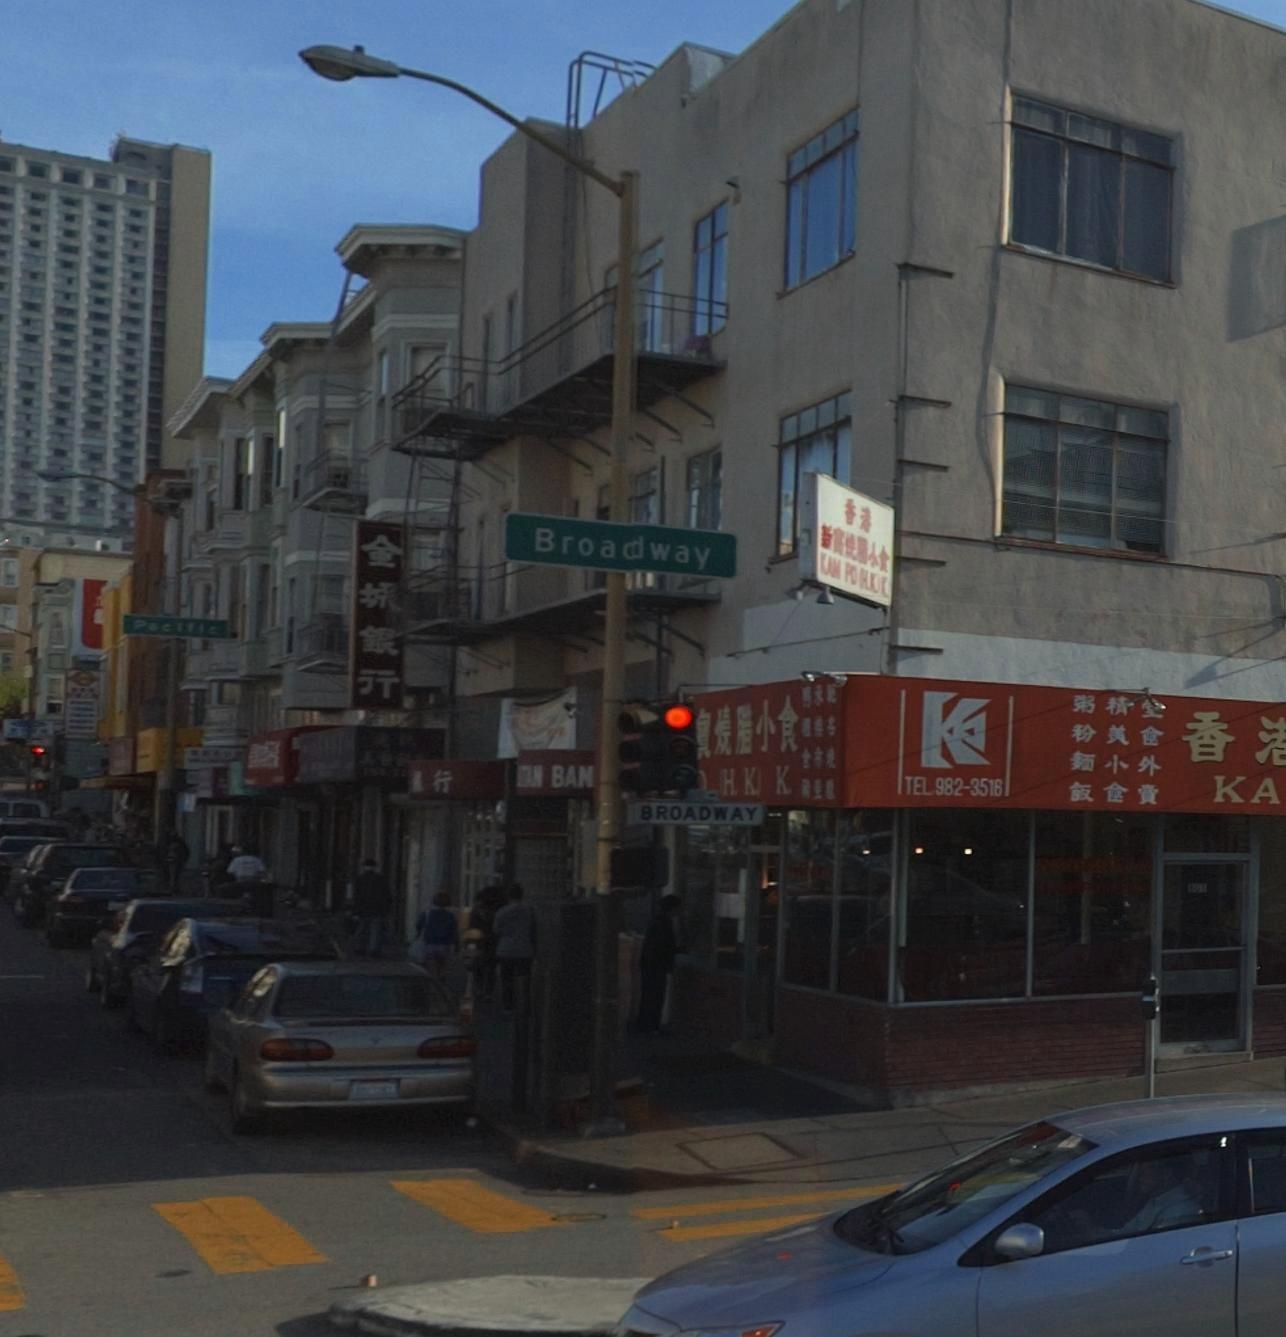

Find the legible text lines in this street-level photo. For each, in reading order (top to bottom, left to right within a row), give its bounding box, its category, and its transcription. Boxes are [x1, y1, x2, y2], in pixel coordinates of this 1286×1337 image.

[531, 521, 720, 576] StreetName: Broadway
[130, 614, 222, 637] StreetName: Pacific
[548, 760, 598, 792] None: BAN
[901, 771, 1007, 801] None: TEL.982-351*
[1210, 770, 1285, 808] BusinessName: KA
[637, 802, 761, 824] StreetName: BROADWAY < [800]